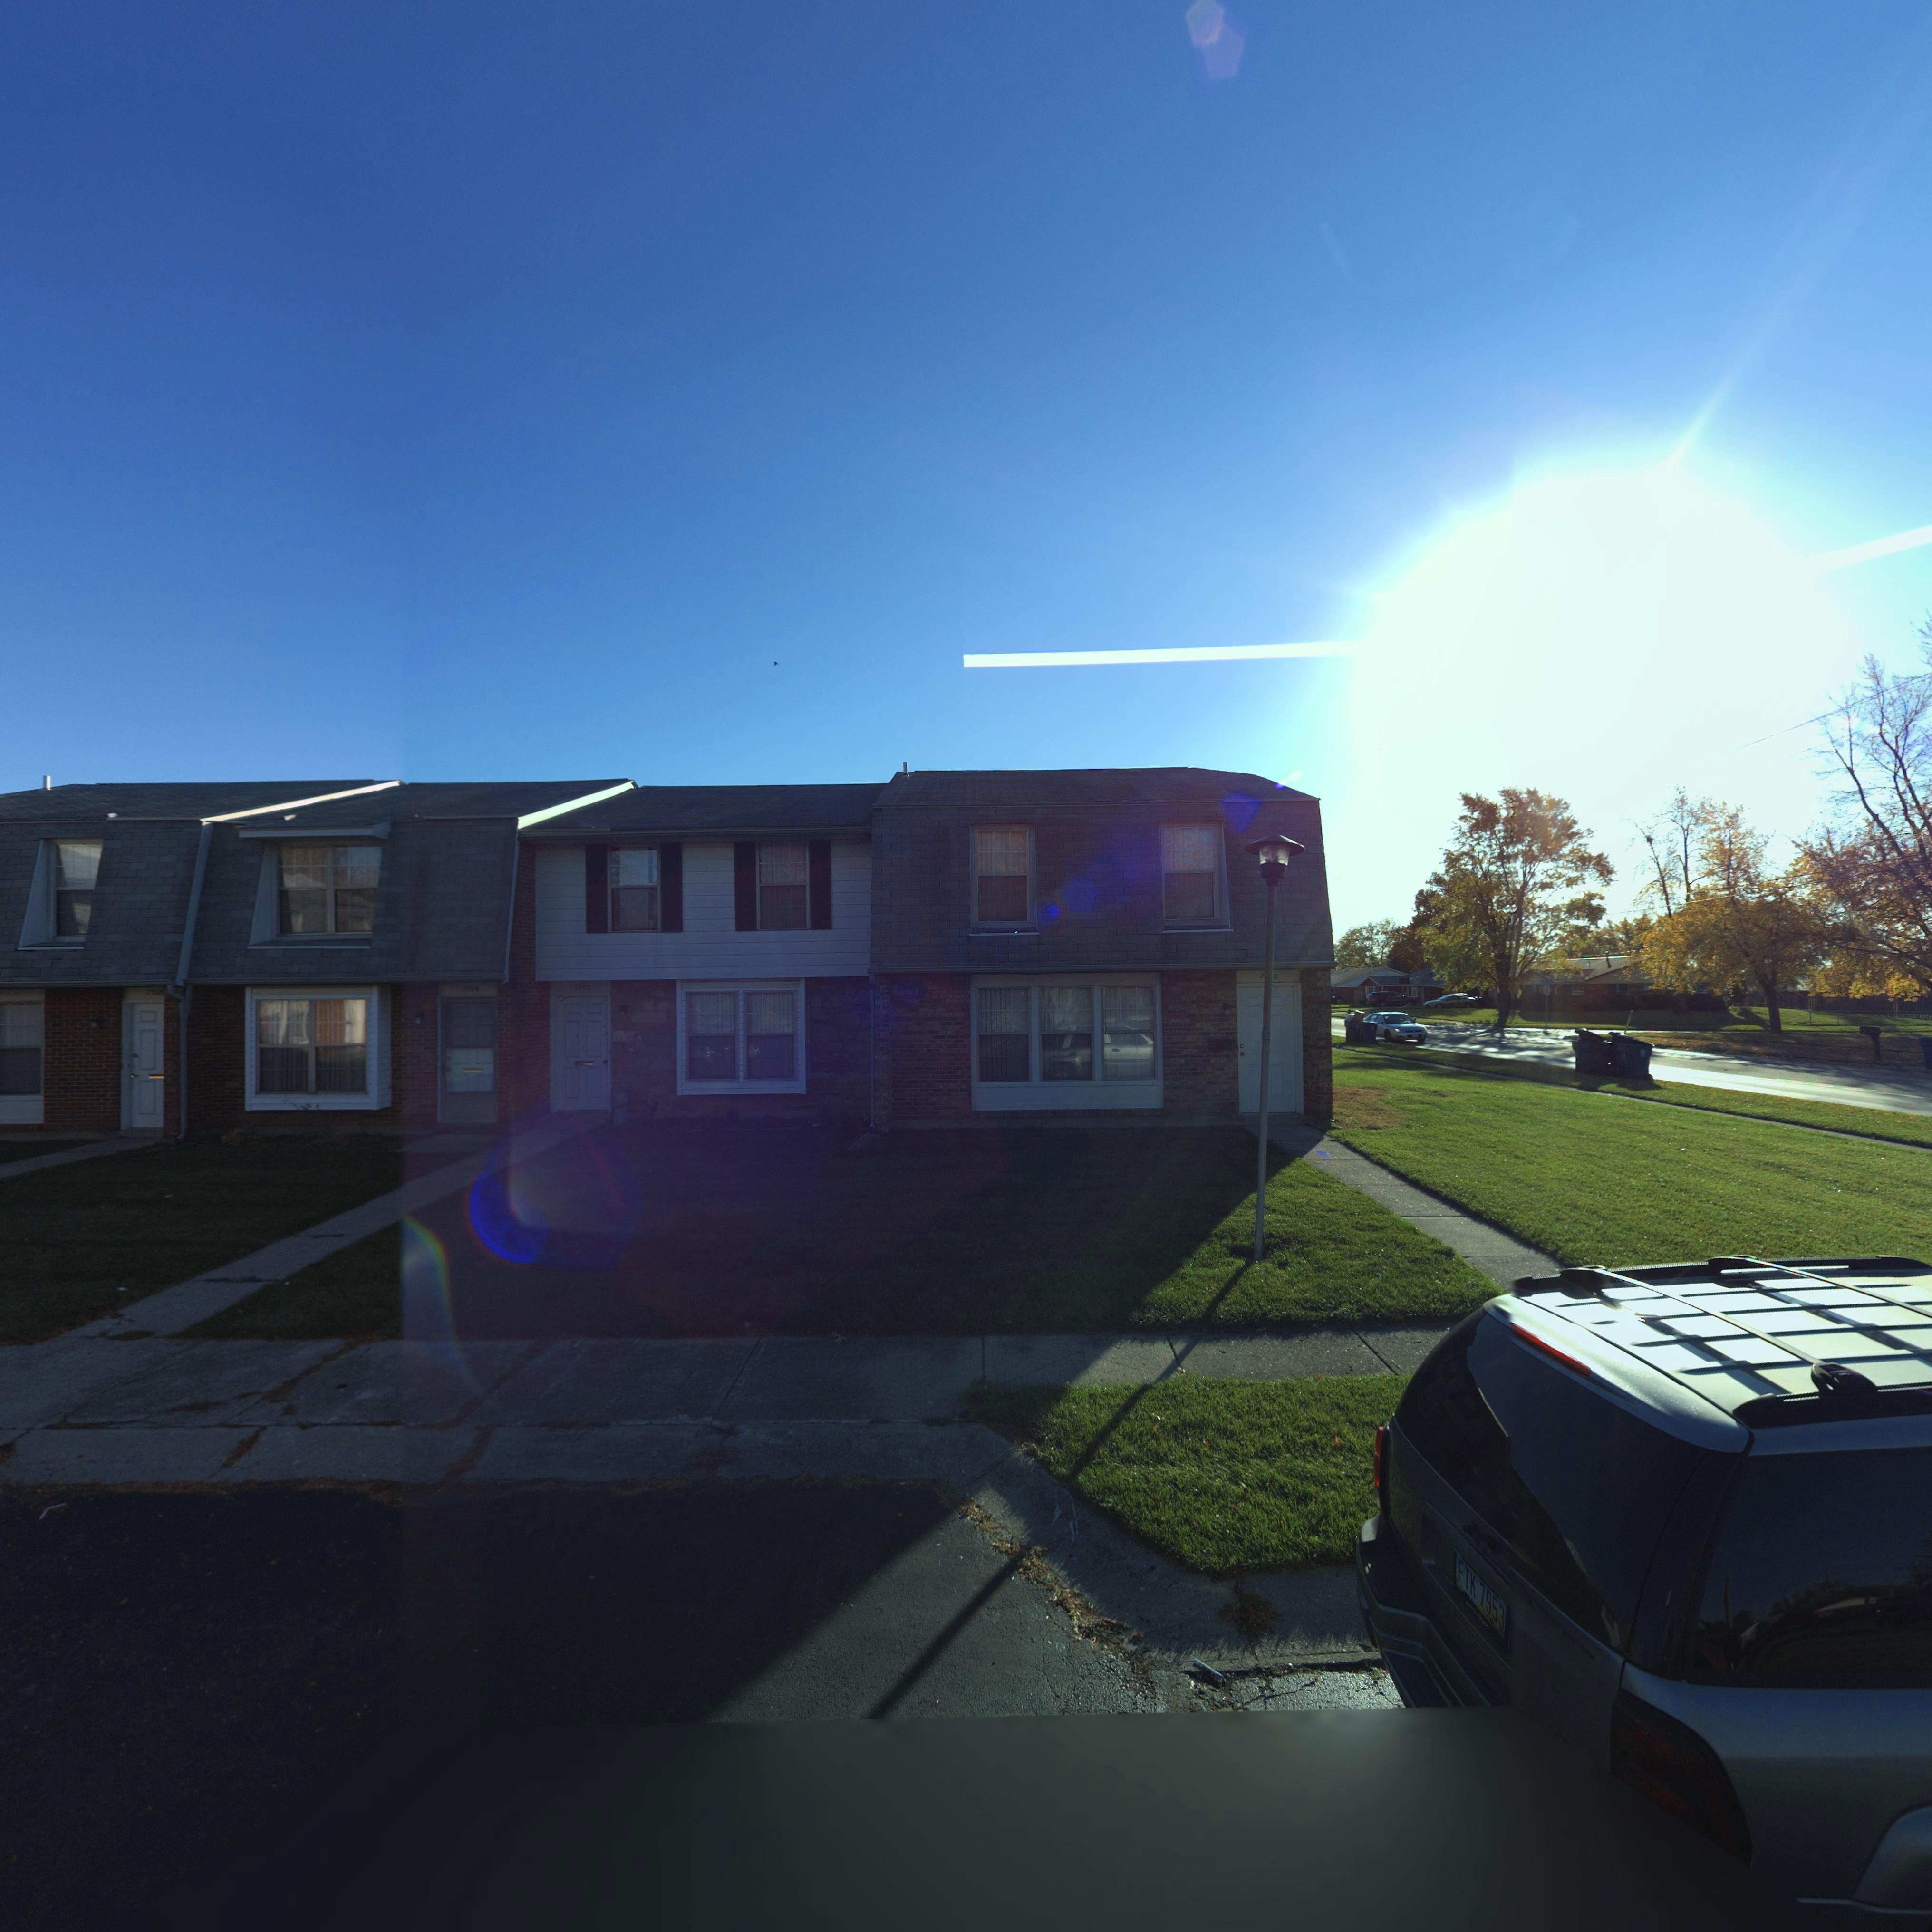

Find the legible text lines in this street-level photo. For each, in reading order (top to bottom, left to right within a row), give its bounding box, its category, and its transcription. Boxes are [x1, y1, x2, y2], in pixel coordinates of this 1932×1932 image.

[1259, 972, 1279, 980] StreetNumber: 7**0
[144, 987, 166, 997] StreetNumber: **06
[460, 984, 480, 993] StreetNumber: **0*
[574, 983, 593, 992] StreetNumber: **0*